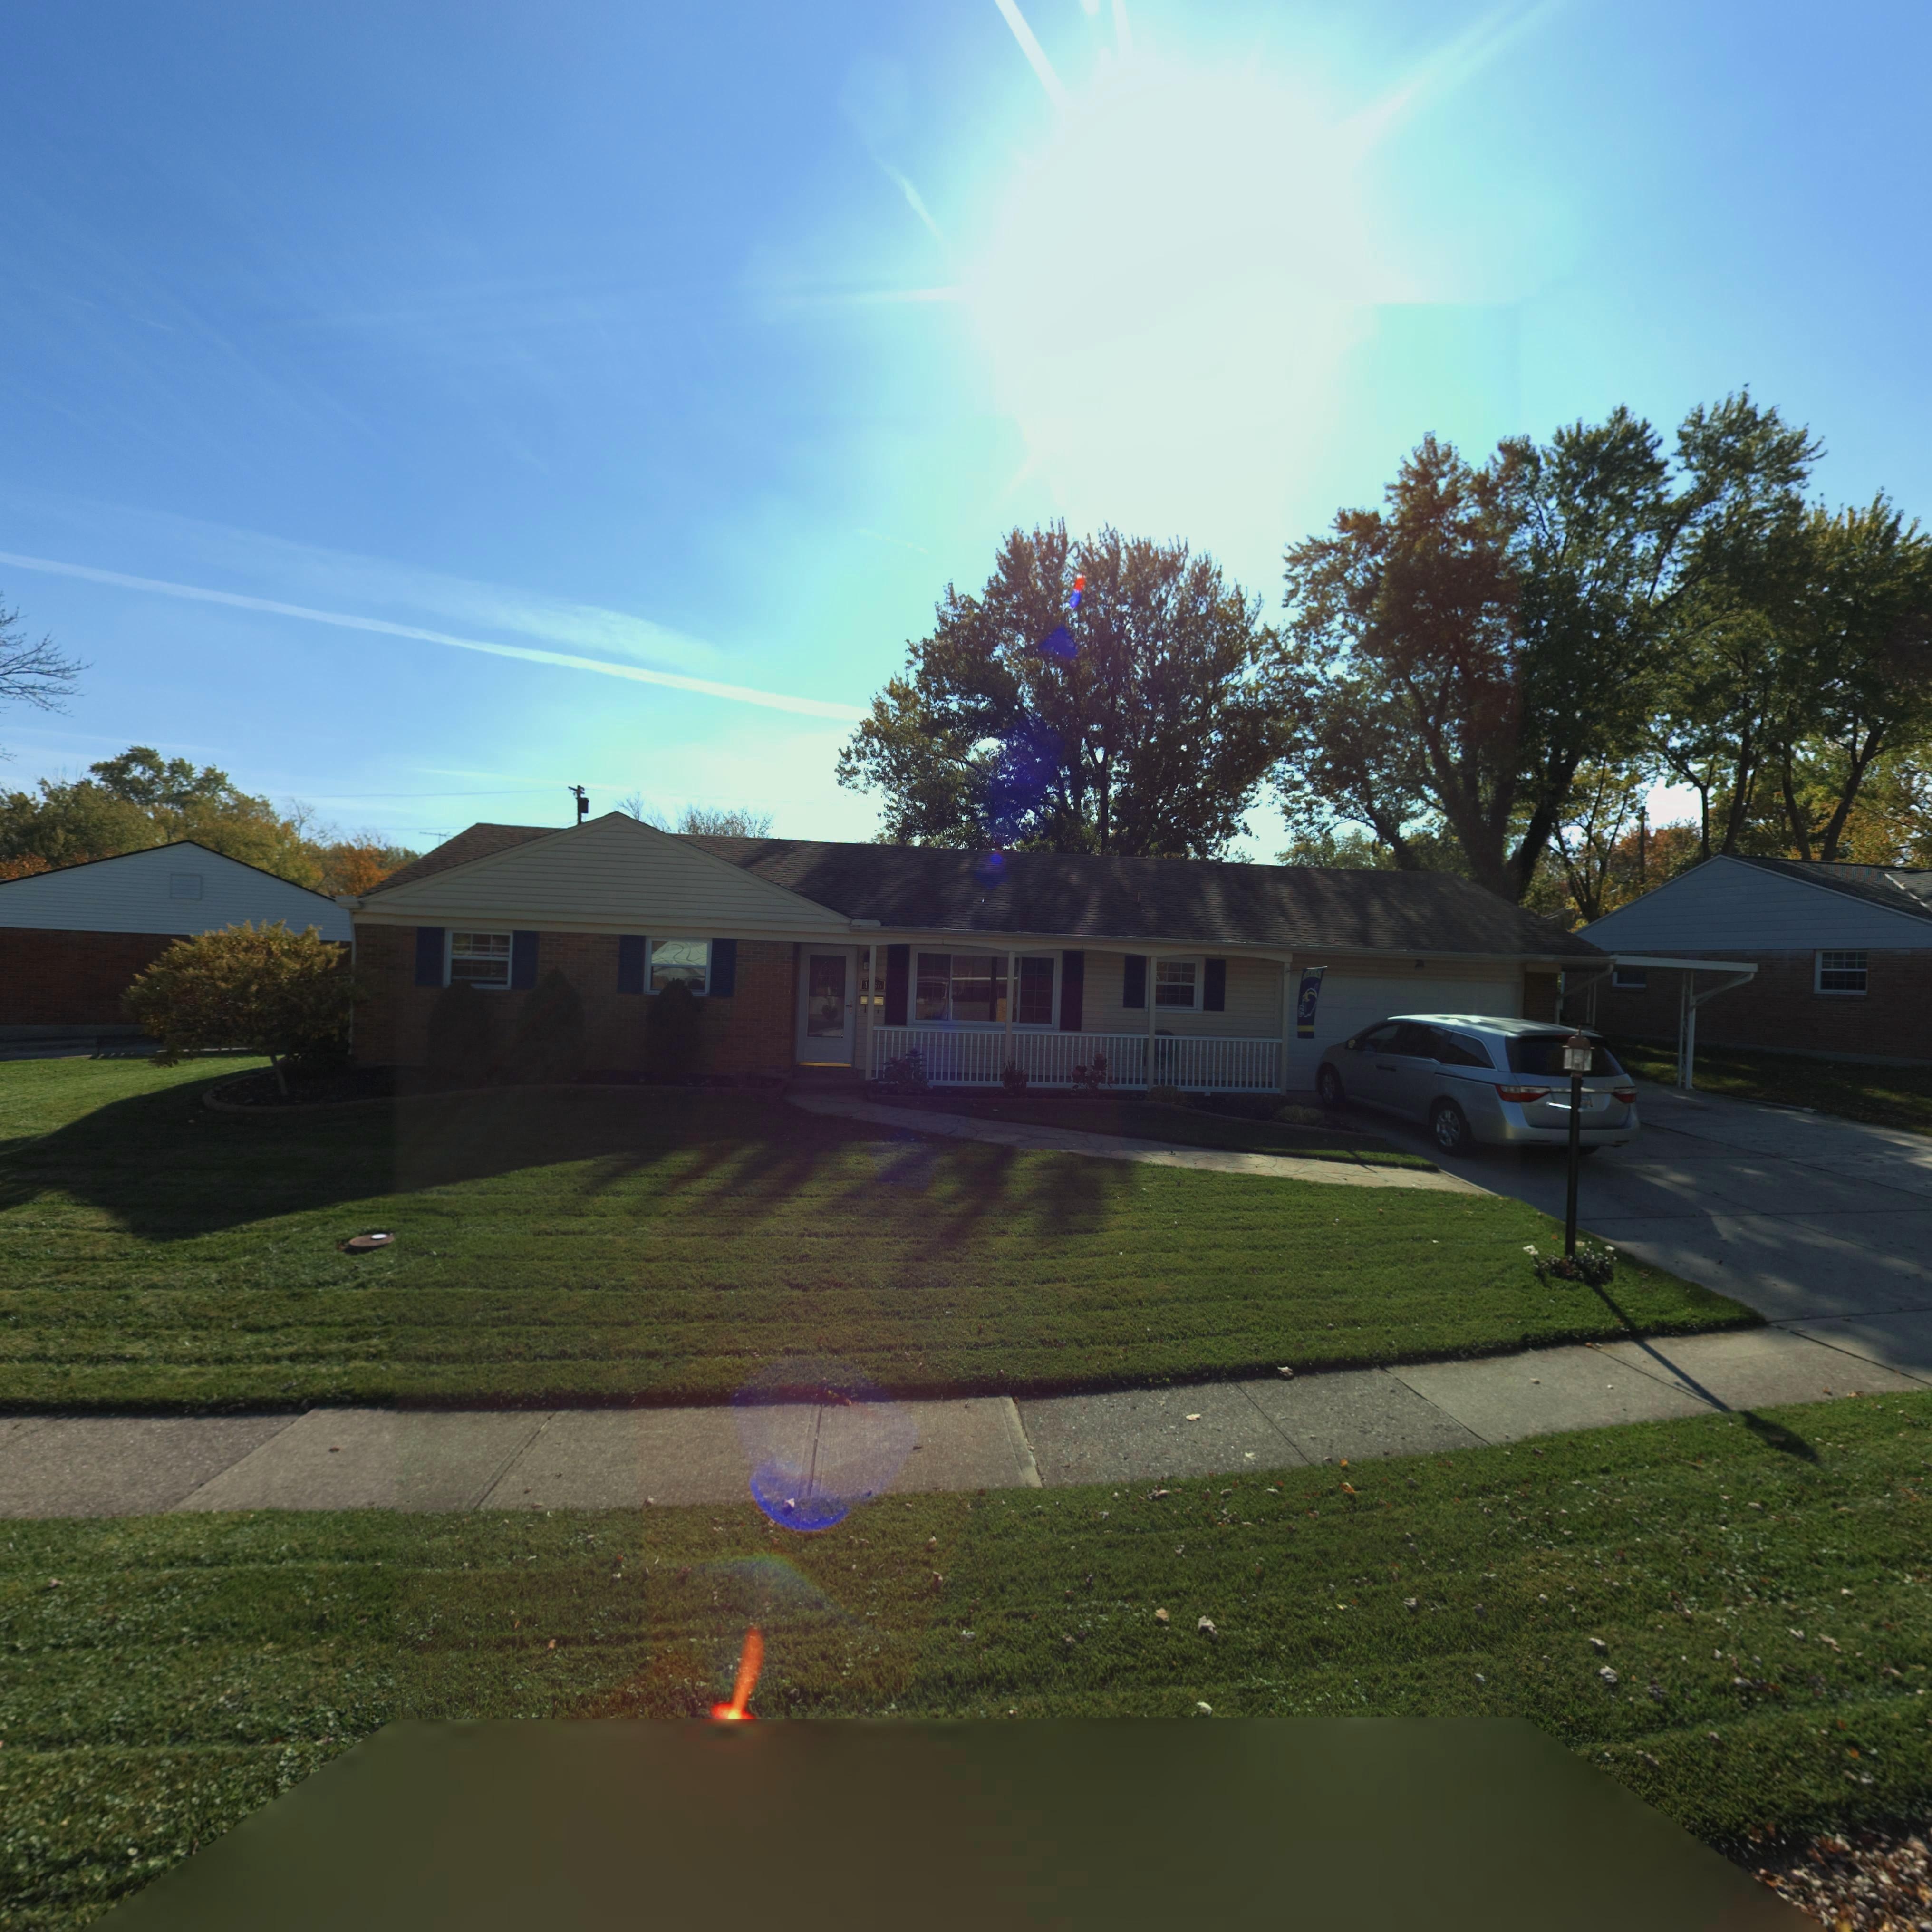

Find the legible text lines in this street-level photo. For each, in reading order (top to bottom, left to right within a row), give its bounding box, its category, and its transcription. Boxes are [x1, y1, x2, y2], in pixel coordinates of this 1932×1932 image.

[864, 981, 882, 989] StreetNumber: 1**6